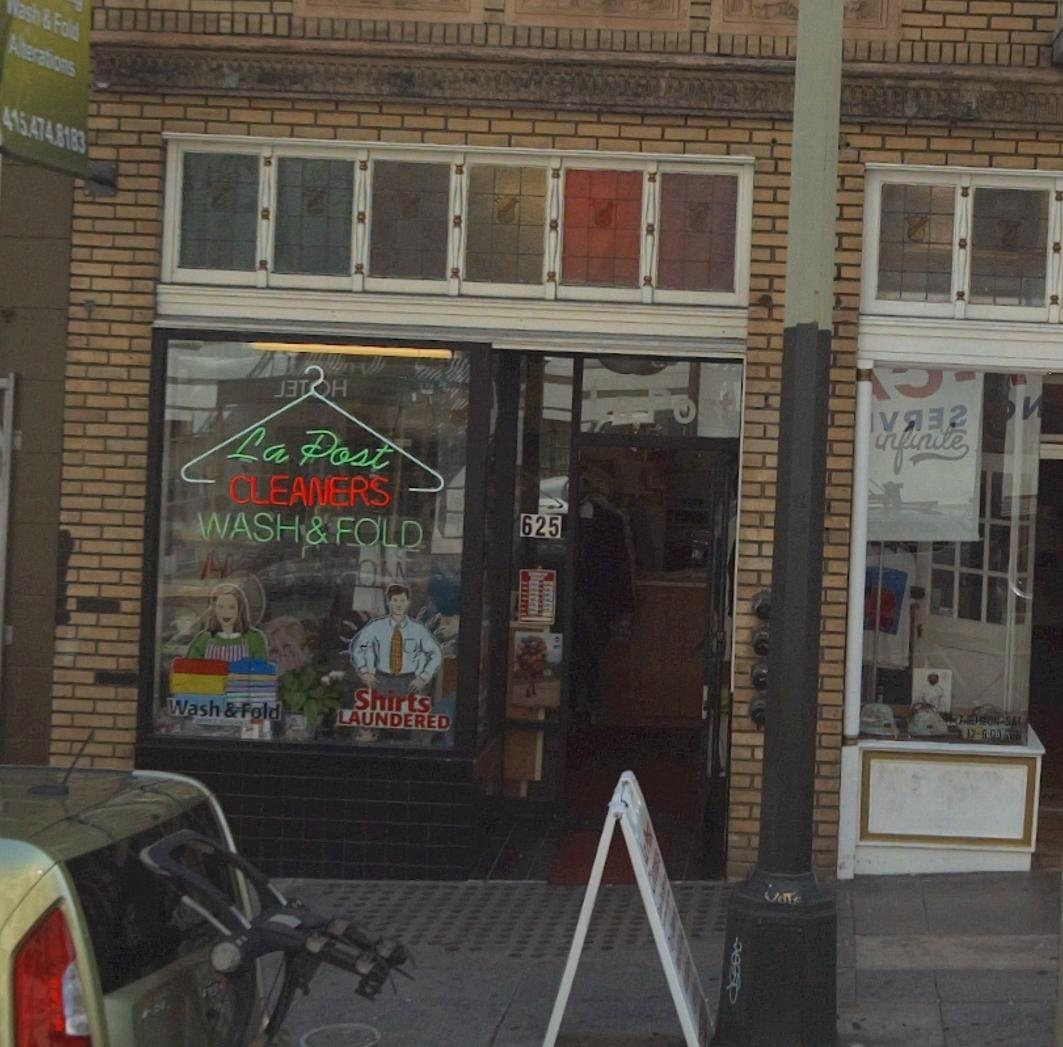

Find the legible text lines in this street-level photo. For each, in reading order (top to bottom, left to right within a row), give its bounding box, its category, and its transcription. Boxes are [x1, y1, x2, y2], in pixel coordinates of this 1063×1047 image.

[17, 1, 83, 44] None: ash & Fold
[5, 30, 79, 79] None: Alterations
[1, 103, 87, 158] None: 415.474.8183
[586, 383, 736, 427] BusinessName: La Post
[224, 425, 399, 470] BusinessName: La Post
[872, 417, 973, 474] None: infinite
[227, 473, 392, 509] BusinessName: CLEANERS
[195, 510, 424, 549] BusinessName: WASH & FOLD
[521, 515, 561, 537] StreetNumber: 625
[165, 696, 282, 723] None: Wash & Fold
[352, 687, 431, 712] None: Shirts
[337, 708, 453, 731] None: LUANDERED
[762, 889, 806, 905] None: VOTE